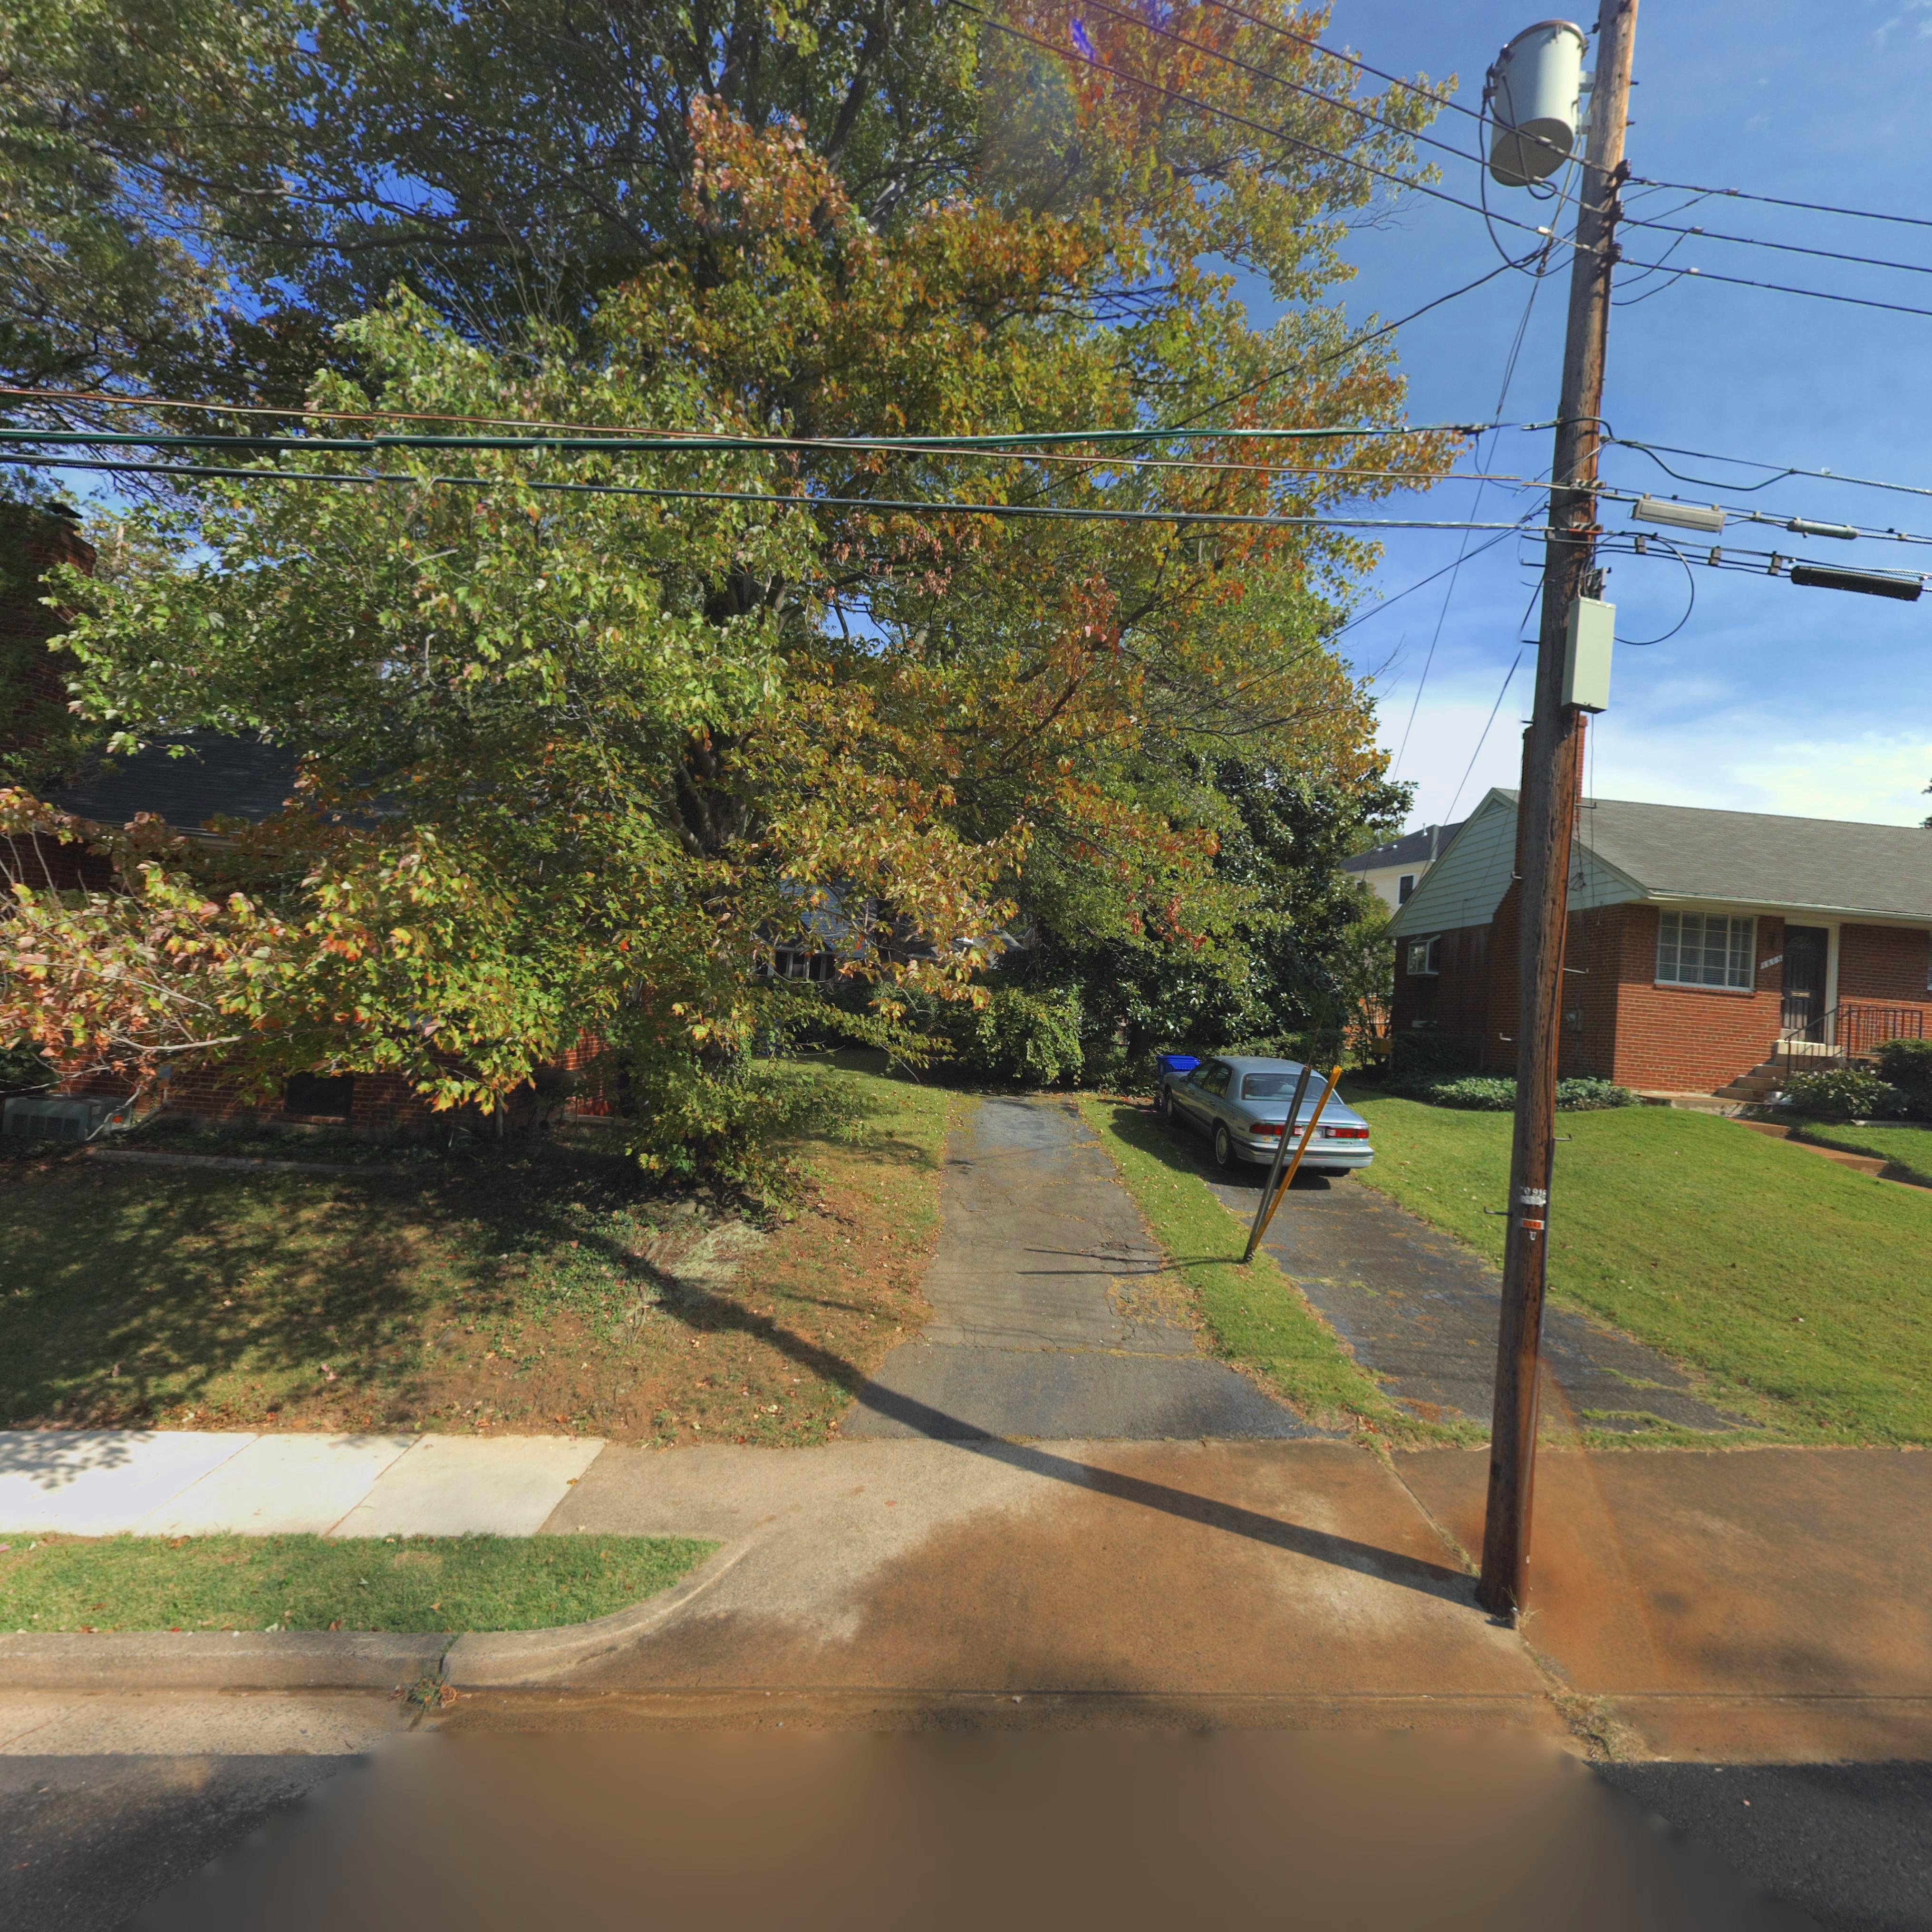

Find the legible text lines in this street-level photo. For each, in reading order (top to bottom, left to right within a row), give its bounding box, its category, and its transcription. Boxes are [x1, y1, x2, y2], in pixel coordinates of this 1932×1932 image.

[1762, 954, 1782, 970] StreetNumber: 1615
[1522, 1185, 1544, 1198] None: 091
[1527, 1219, 1541, 1230] None: 543
[1527, 1229, 1538, 1242] None: U